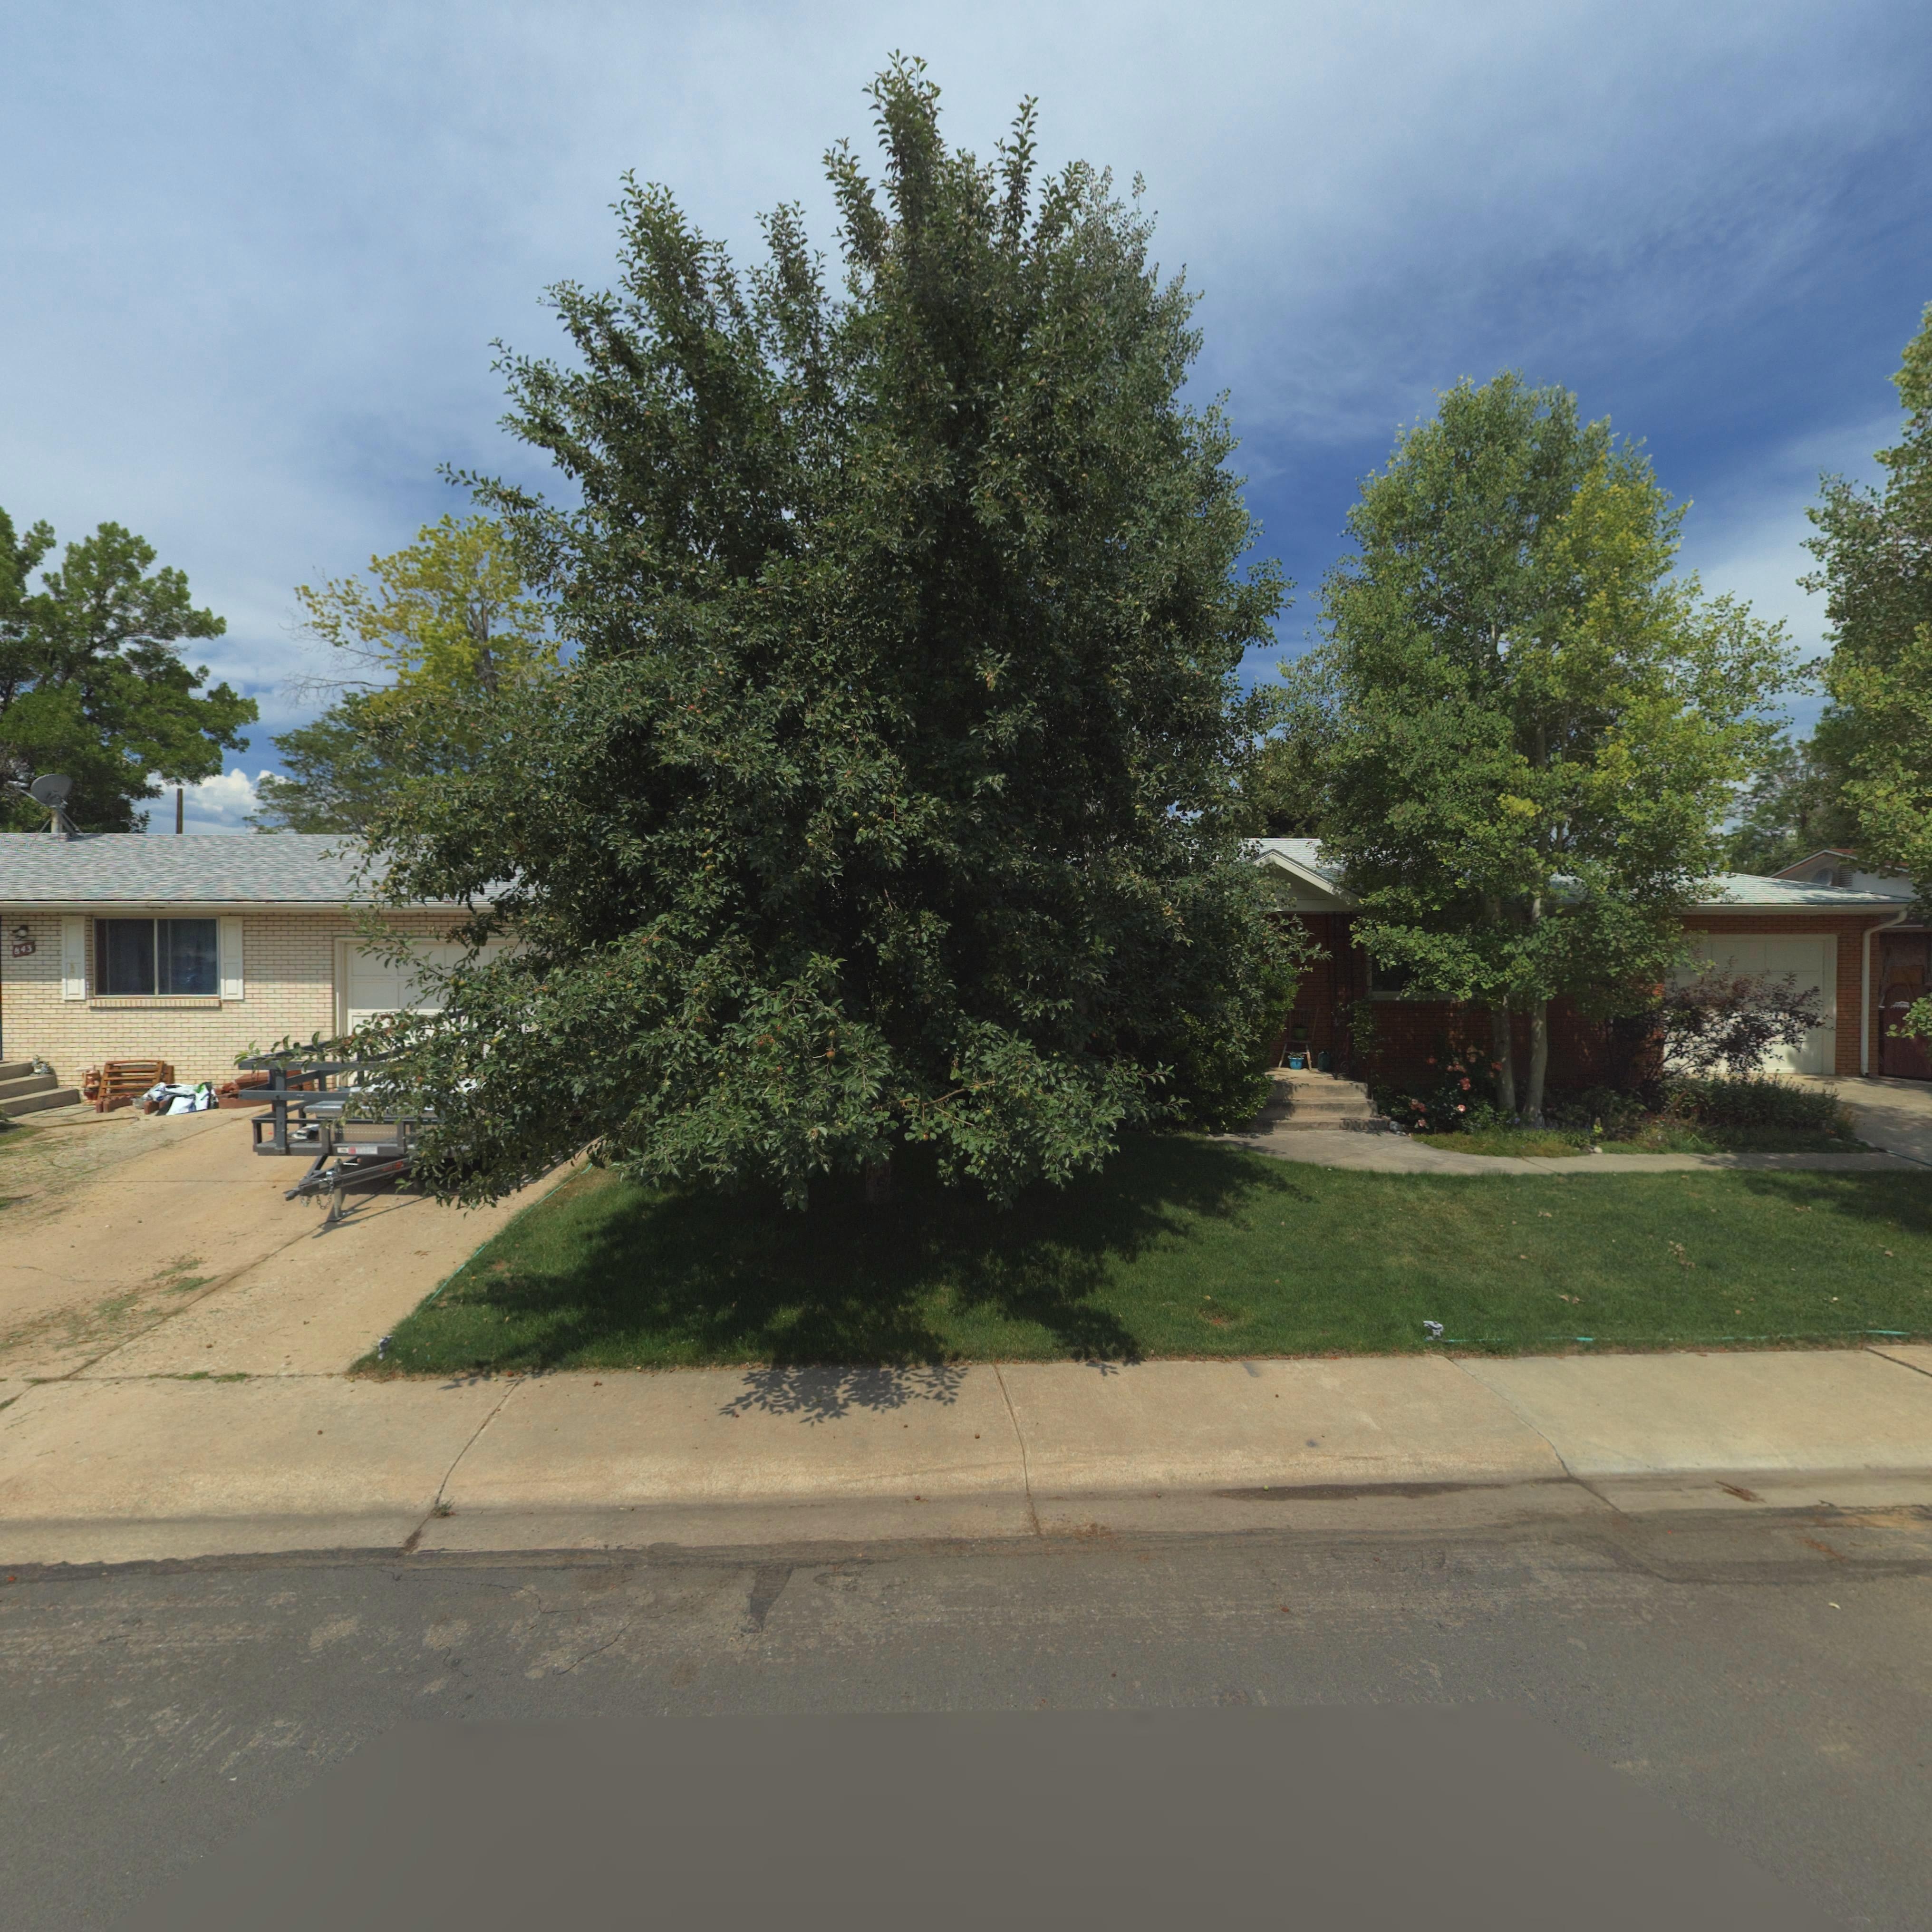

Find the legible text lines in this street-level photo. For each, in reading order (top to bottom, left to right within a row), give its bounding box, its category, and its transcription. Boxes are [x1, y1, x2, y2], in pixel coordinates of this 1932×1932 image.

[13, 944, 32, 955] StreetNumber: 843